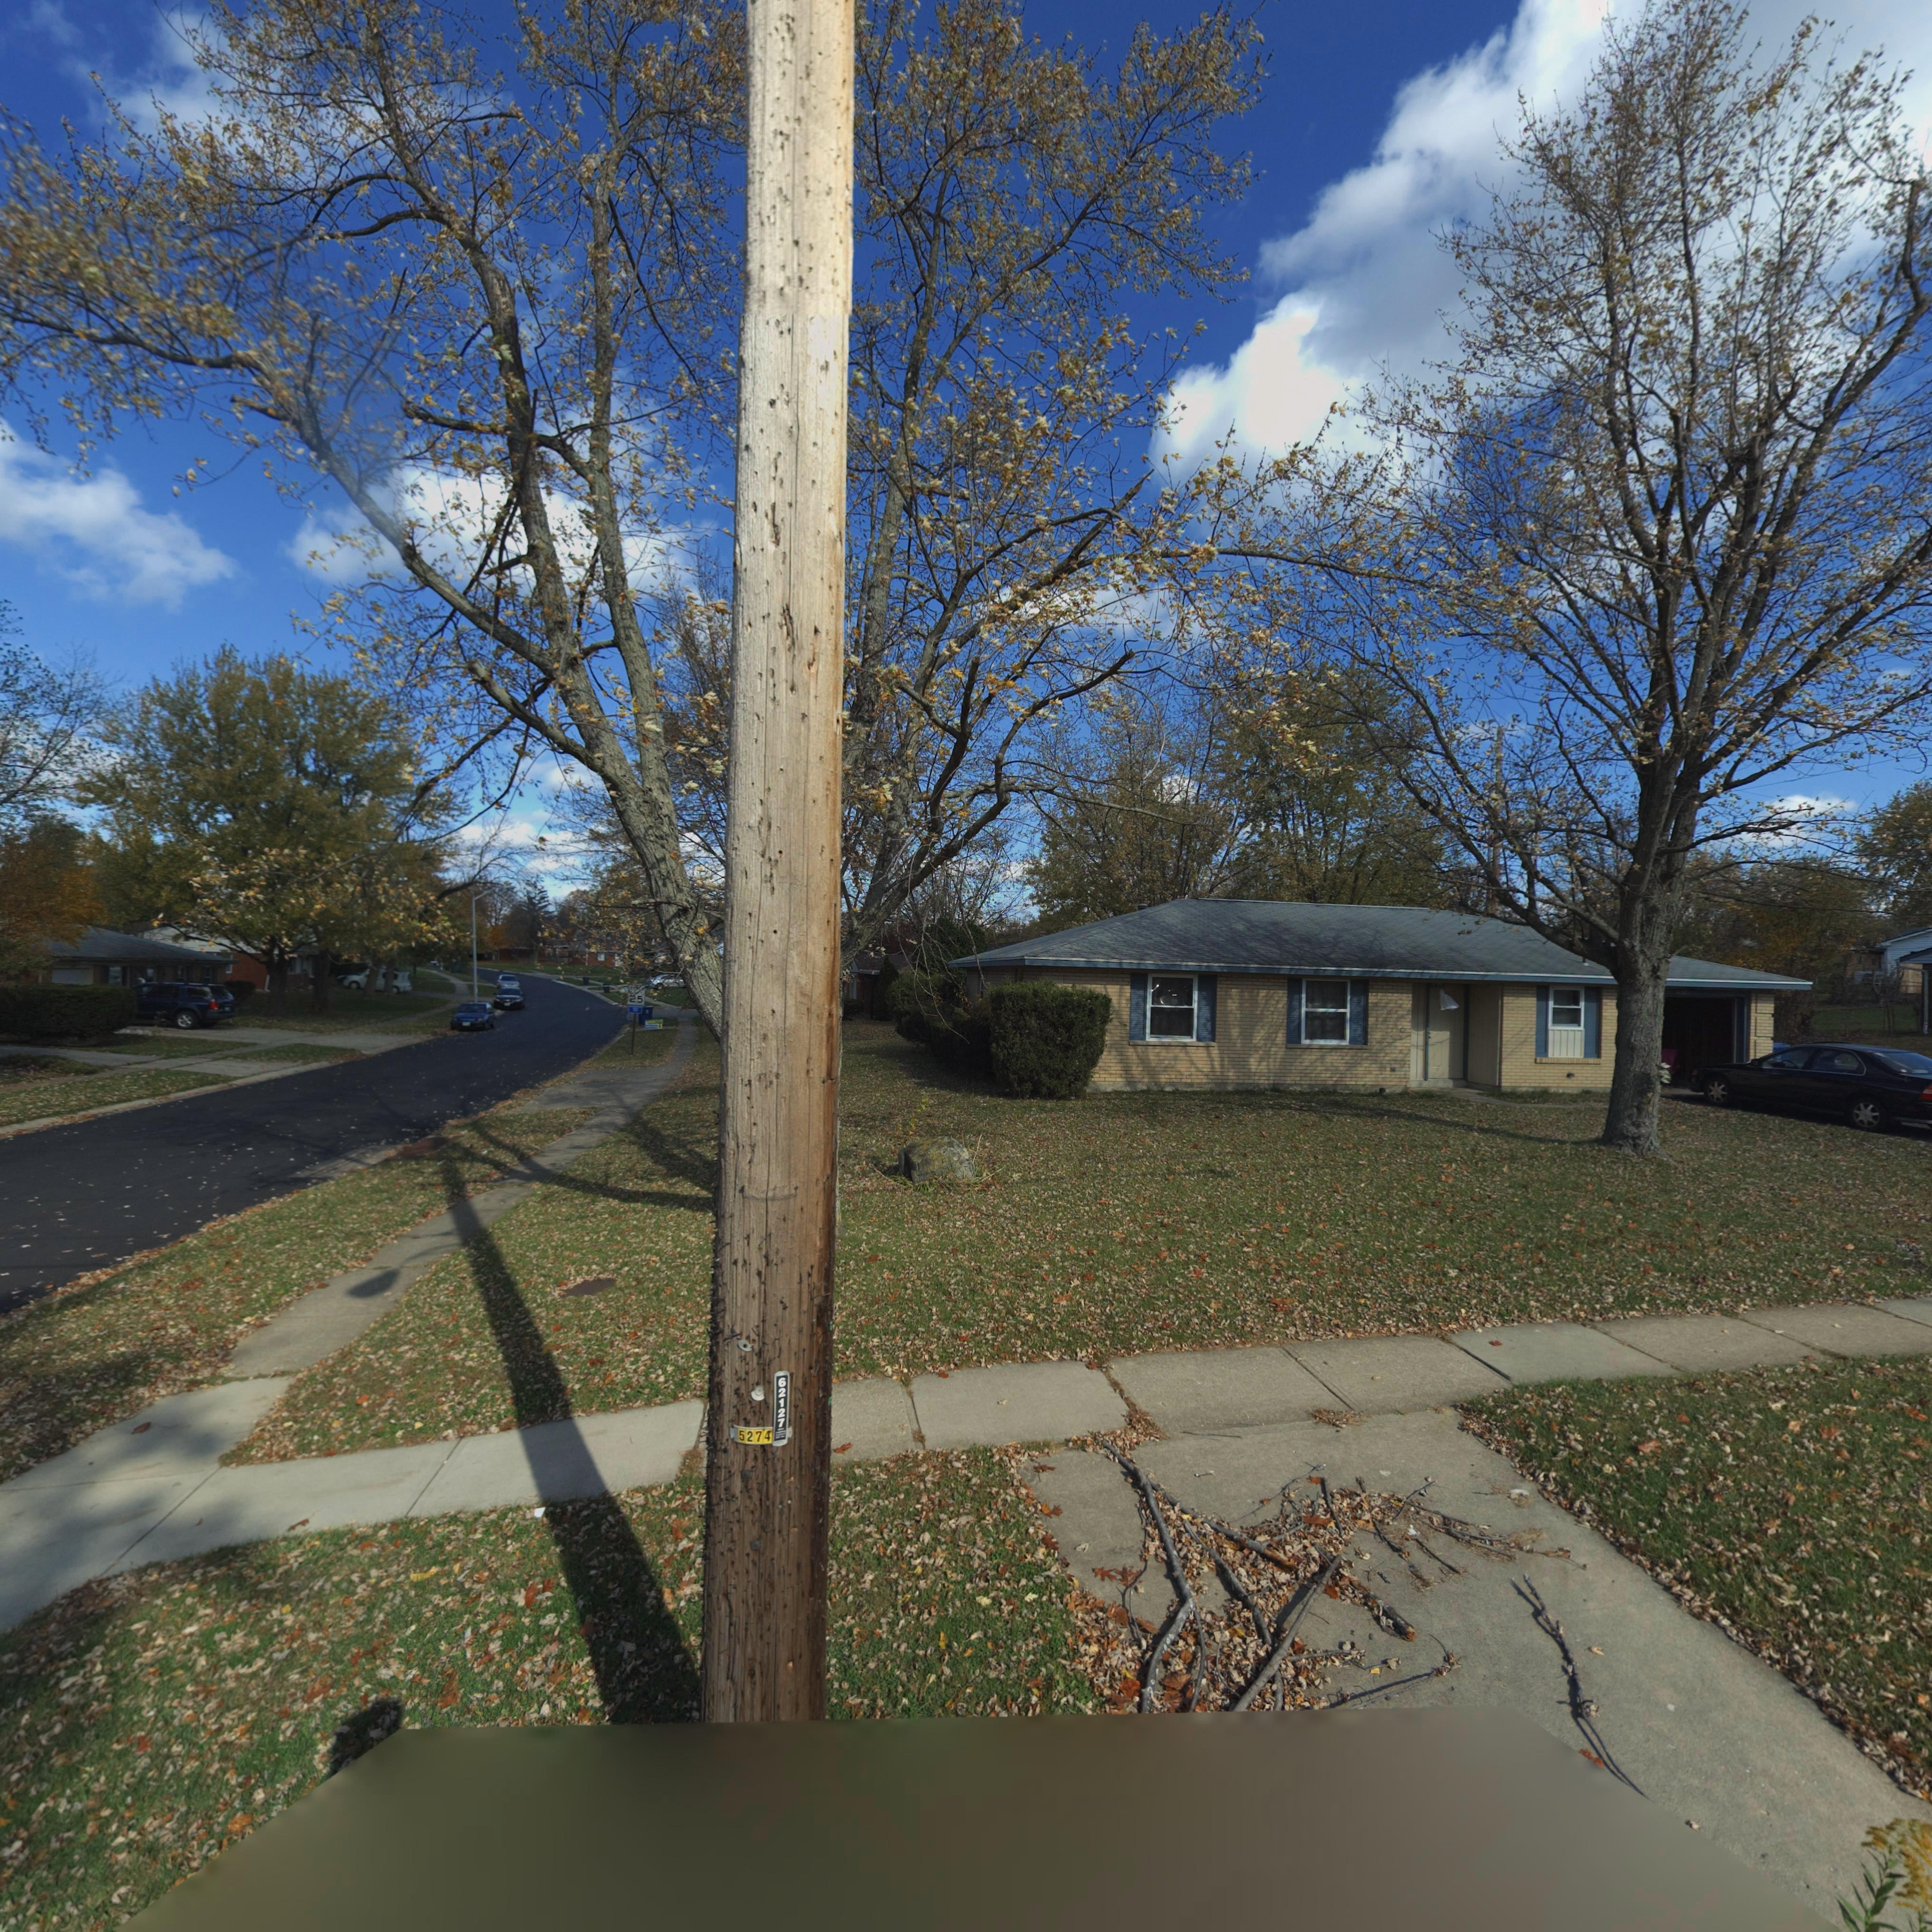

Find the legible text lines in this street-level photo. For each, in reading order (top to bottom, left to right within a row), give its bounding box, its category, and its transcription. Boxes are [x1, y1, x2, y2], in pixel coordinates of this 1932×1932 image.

[1675, 989, 1680, 995] StreetNumber: 6